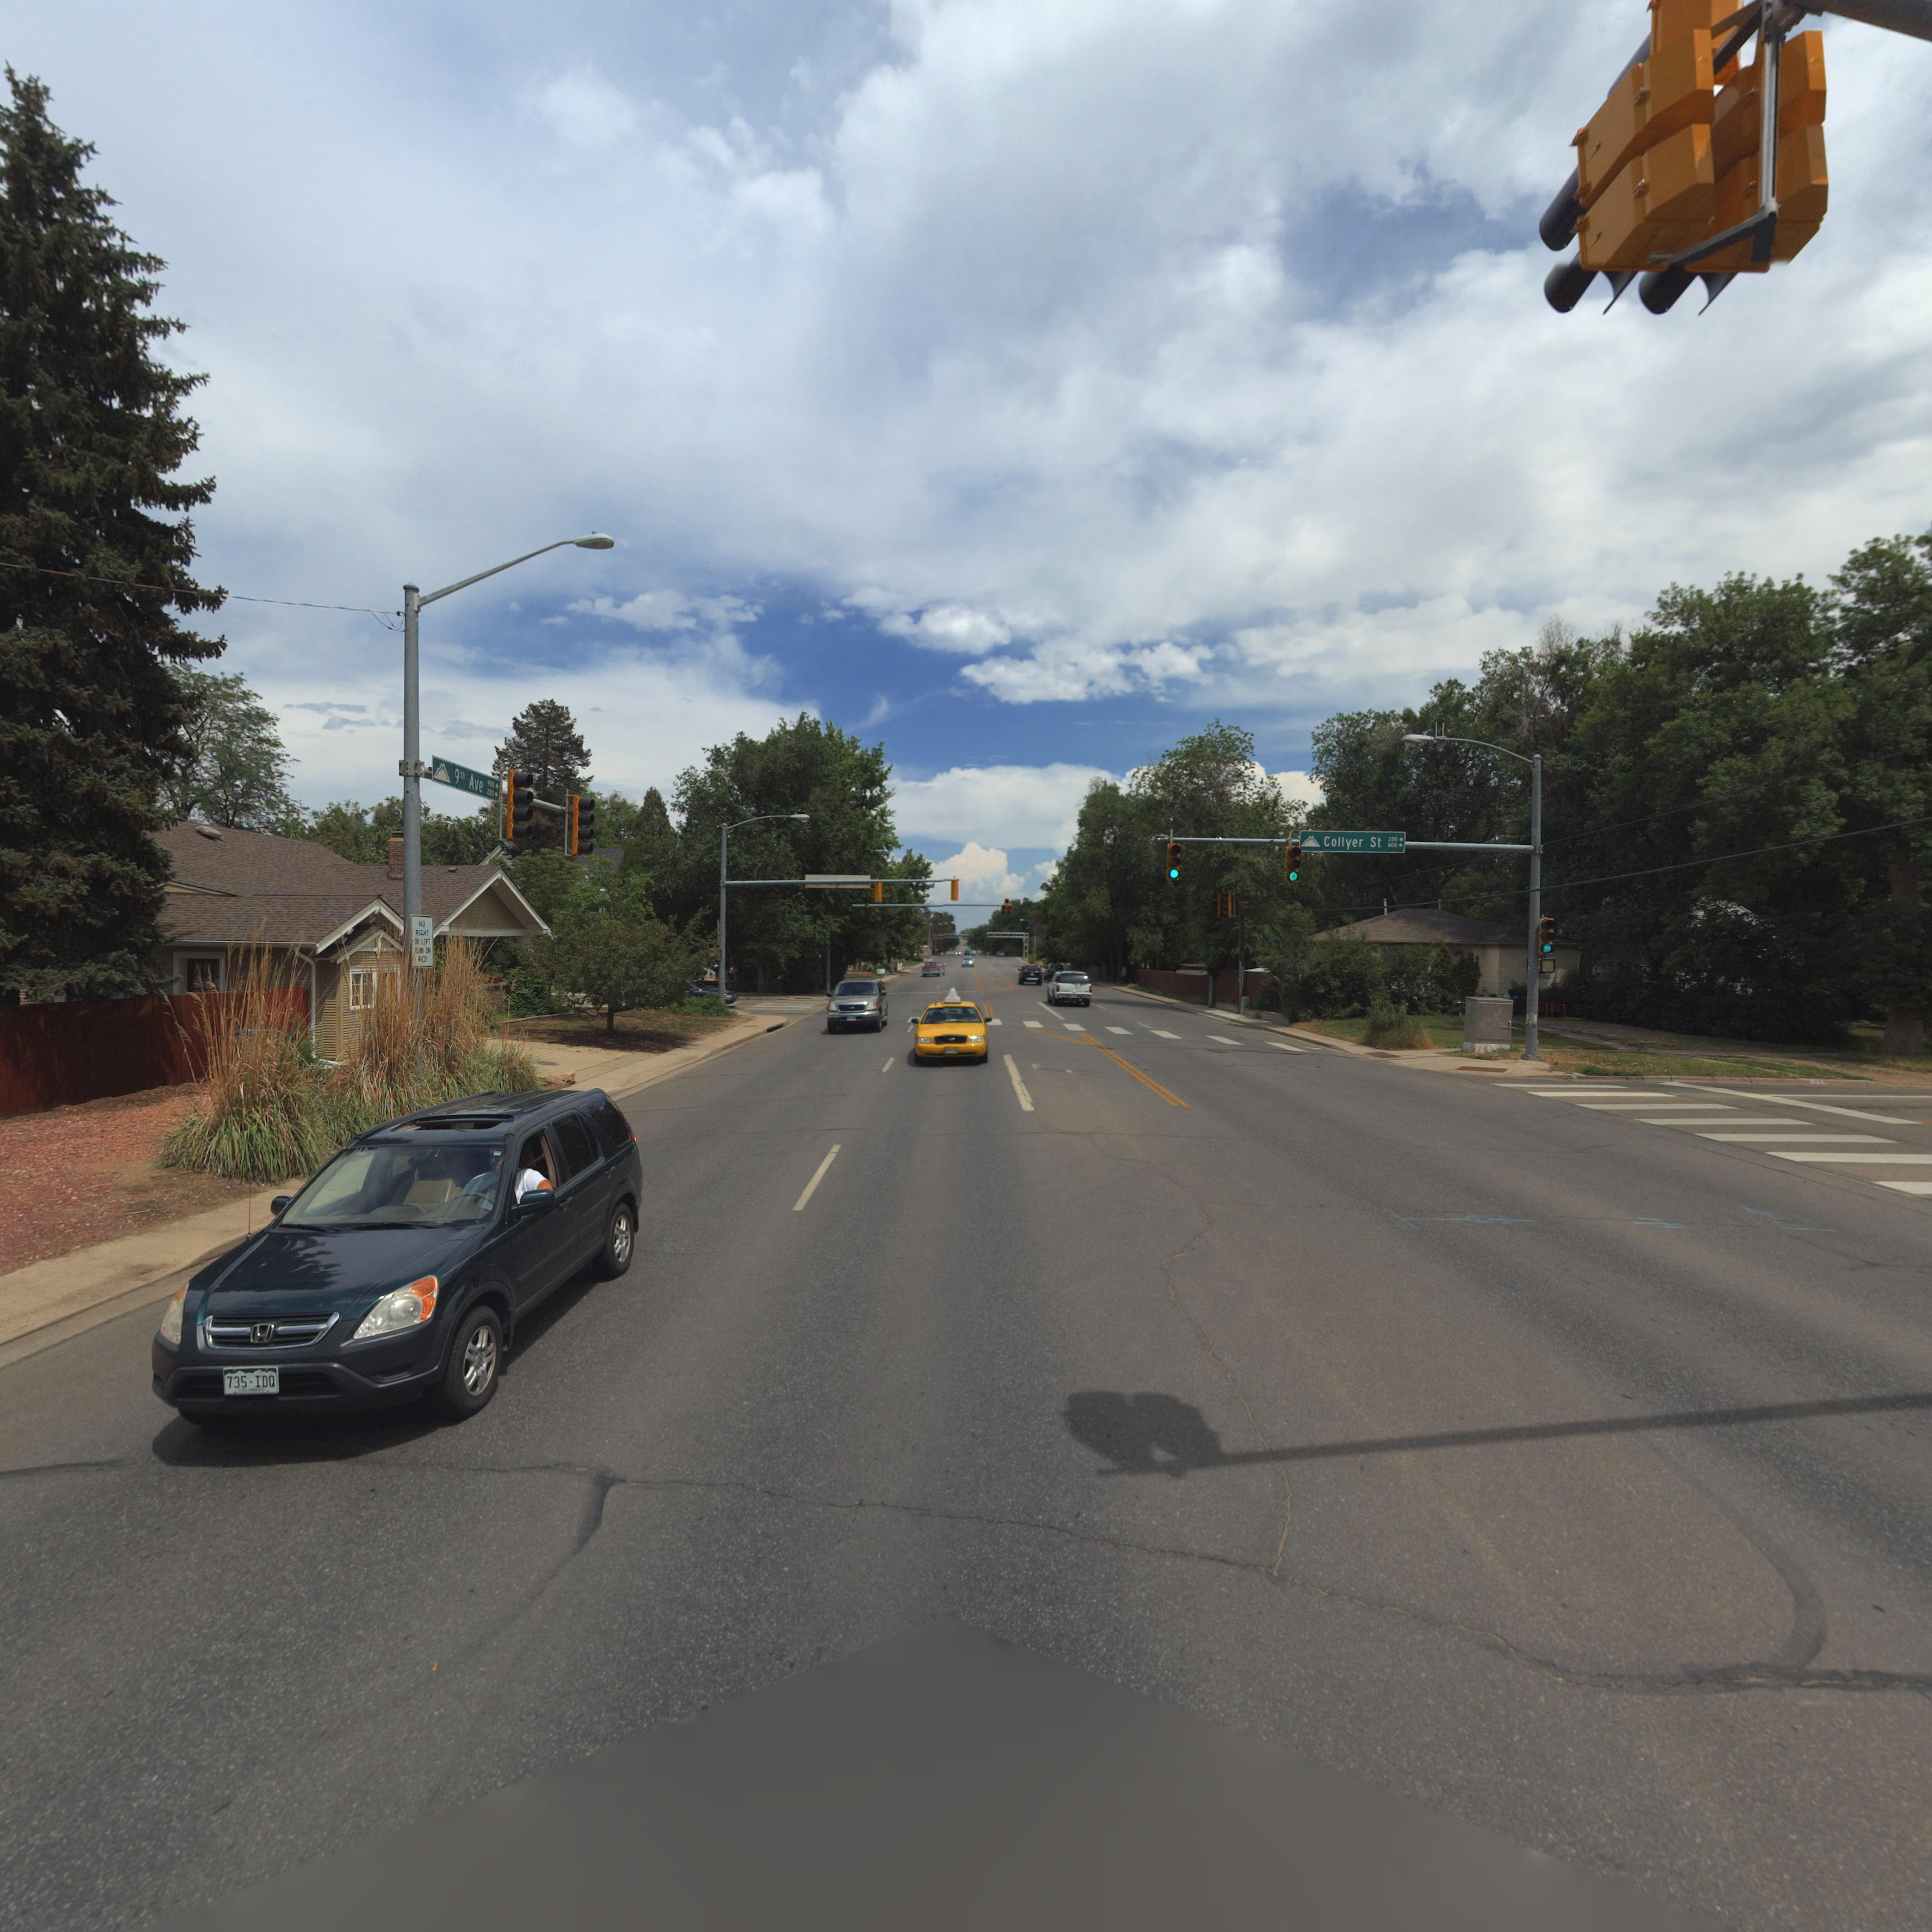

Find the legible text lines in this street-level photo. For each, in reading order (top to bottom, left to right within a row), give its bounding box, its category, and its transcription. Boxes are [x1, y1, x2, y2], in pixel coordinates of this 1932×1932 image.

[454, 767, 483, 793] StreetName: 9th Ave
[487, 779, 494, 788] StreetNumberRange: 900
[486, 788, 498, 797] StreetNumberRange: 200->
[1323, 835, 1381, 850] StreetName: Collyer St
[1388, 836, 1397, 841] StreetNumberRange: 200
[1387, 842, 1403, 848] StreetNumberRange: 800->